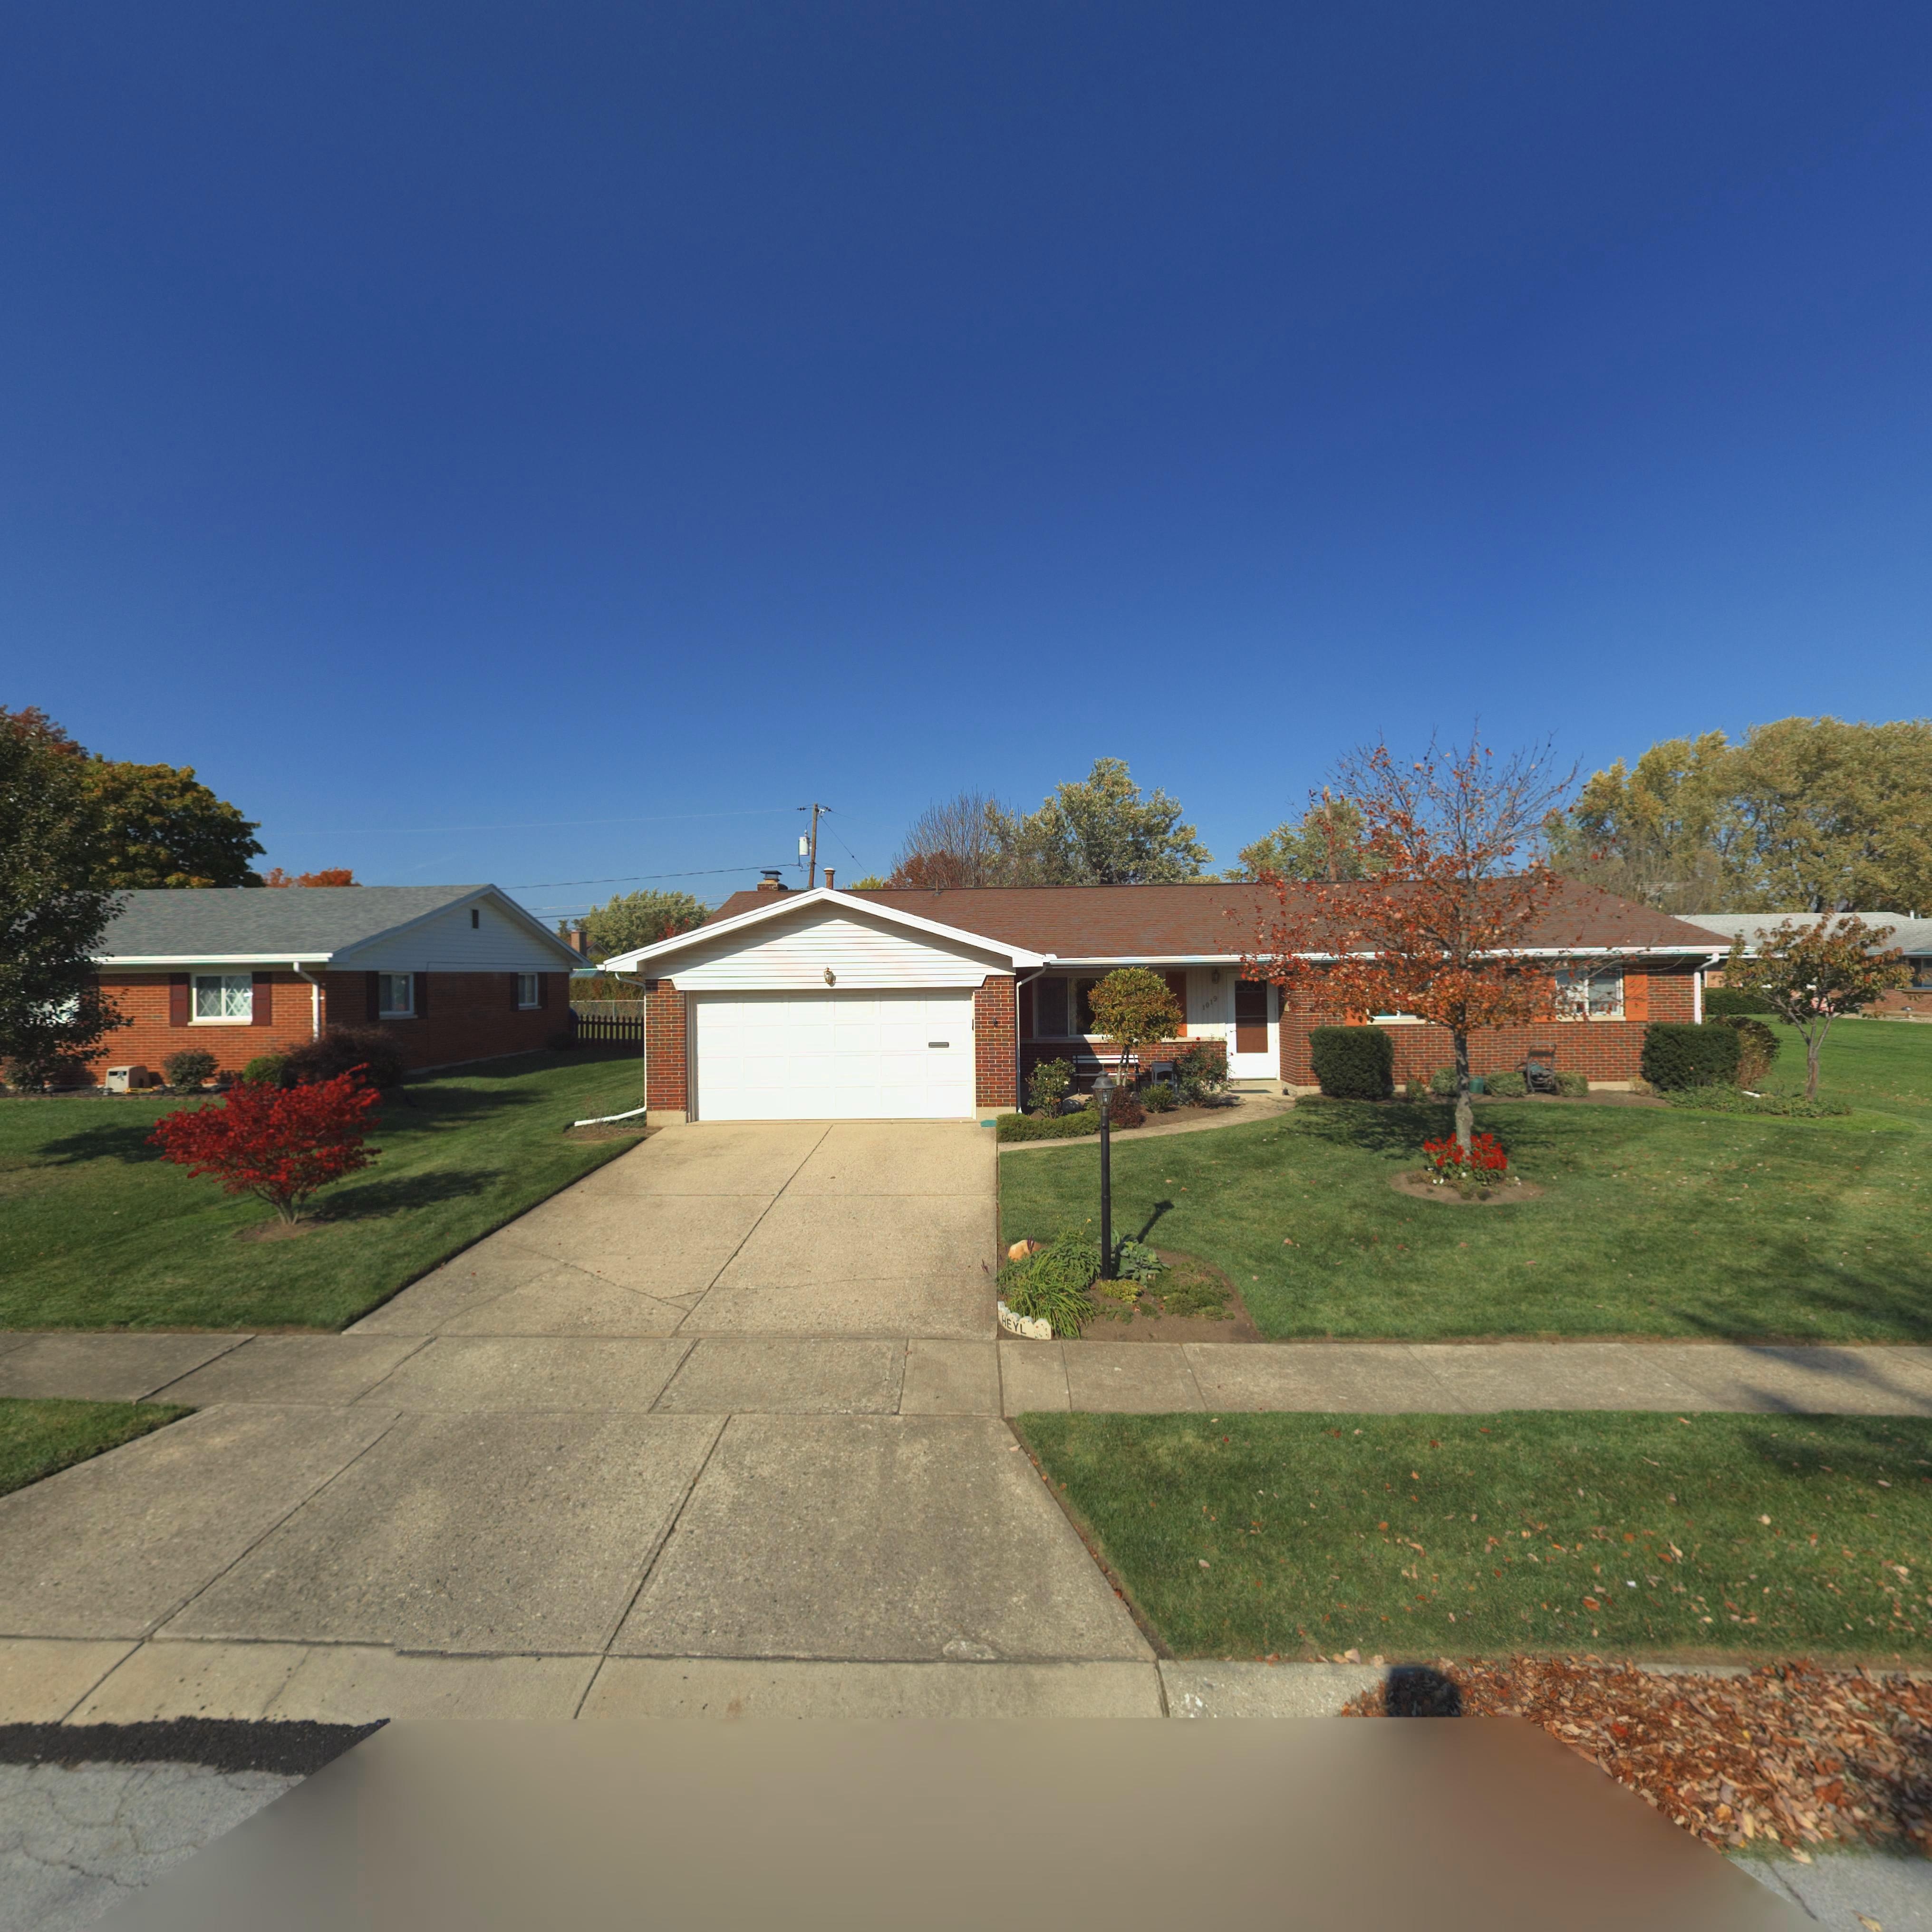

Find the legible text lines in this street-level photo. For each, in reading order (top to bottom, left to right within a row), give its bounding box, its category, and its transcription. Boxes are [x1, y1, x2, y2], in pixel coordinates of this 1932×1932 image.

[1202, 995, 1217, 1012] StreetNumber: 1019